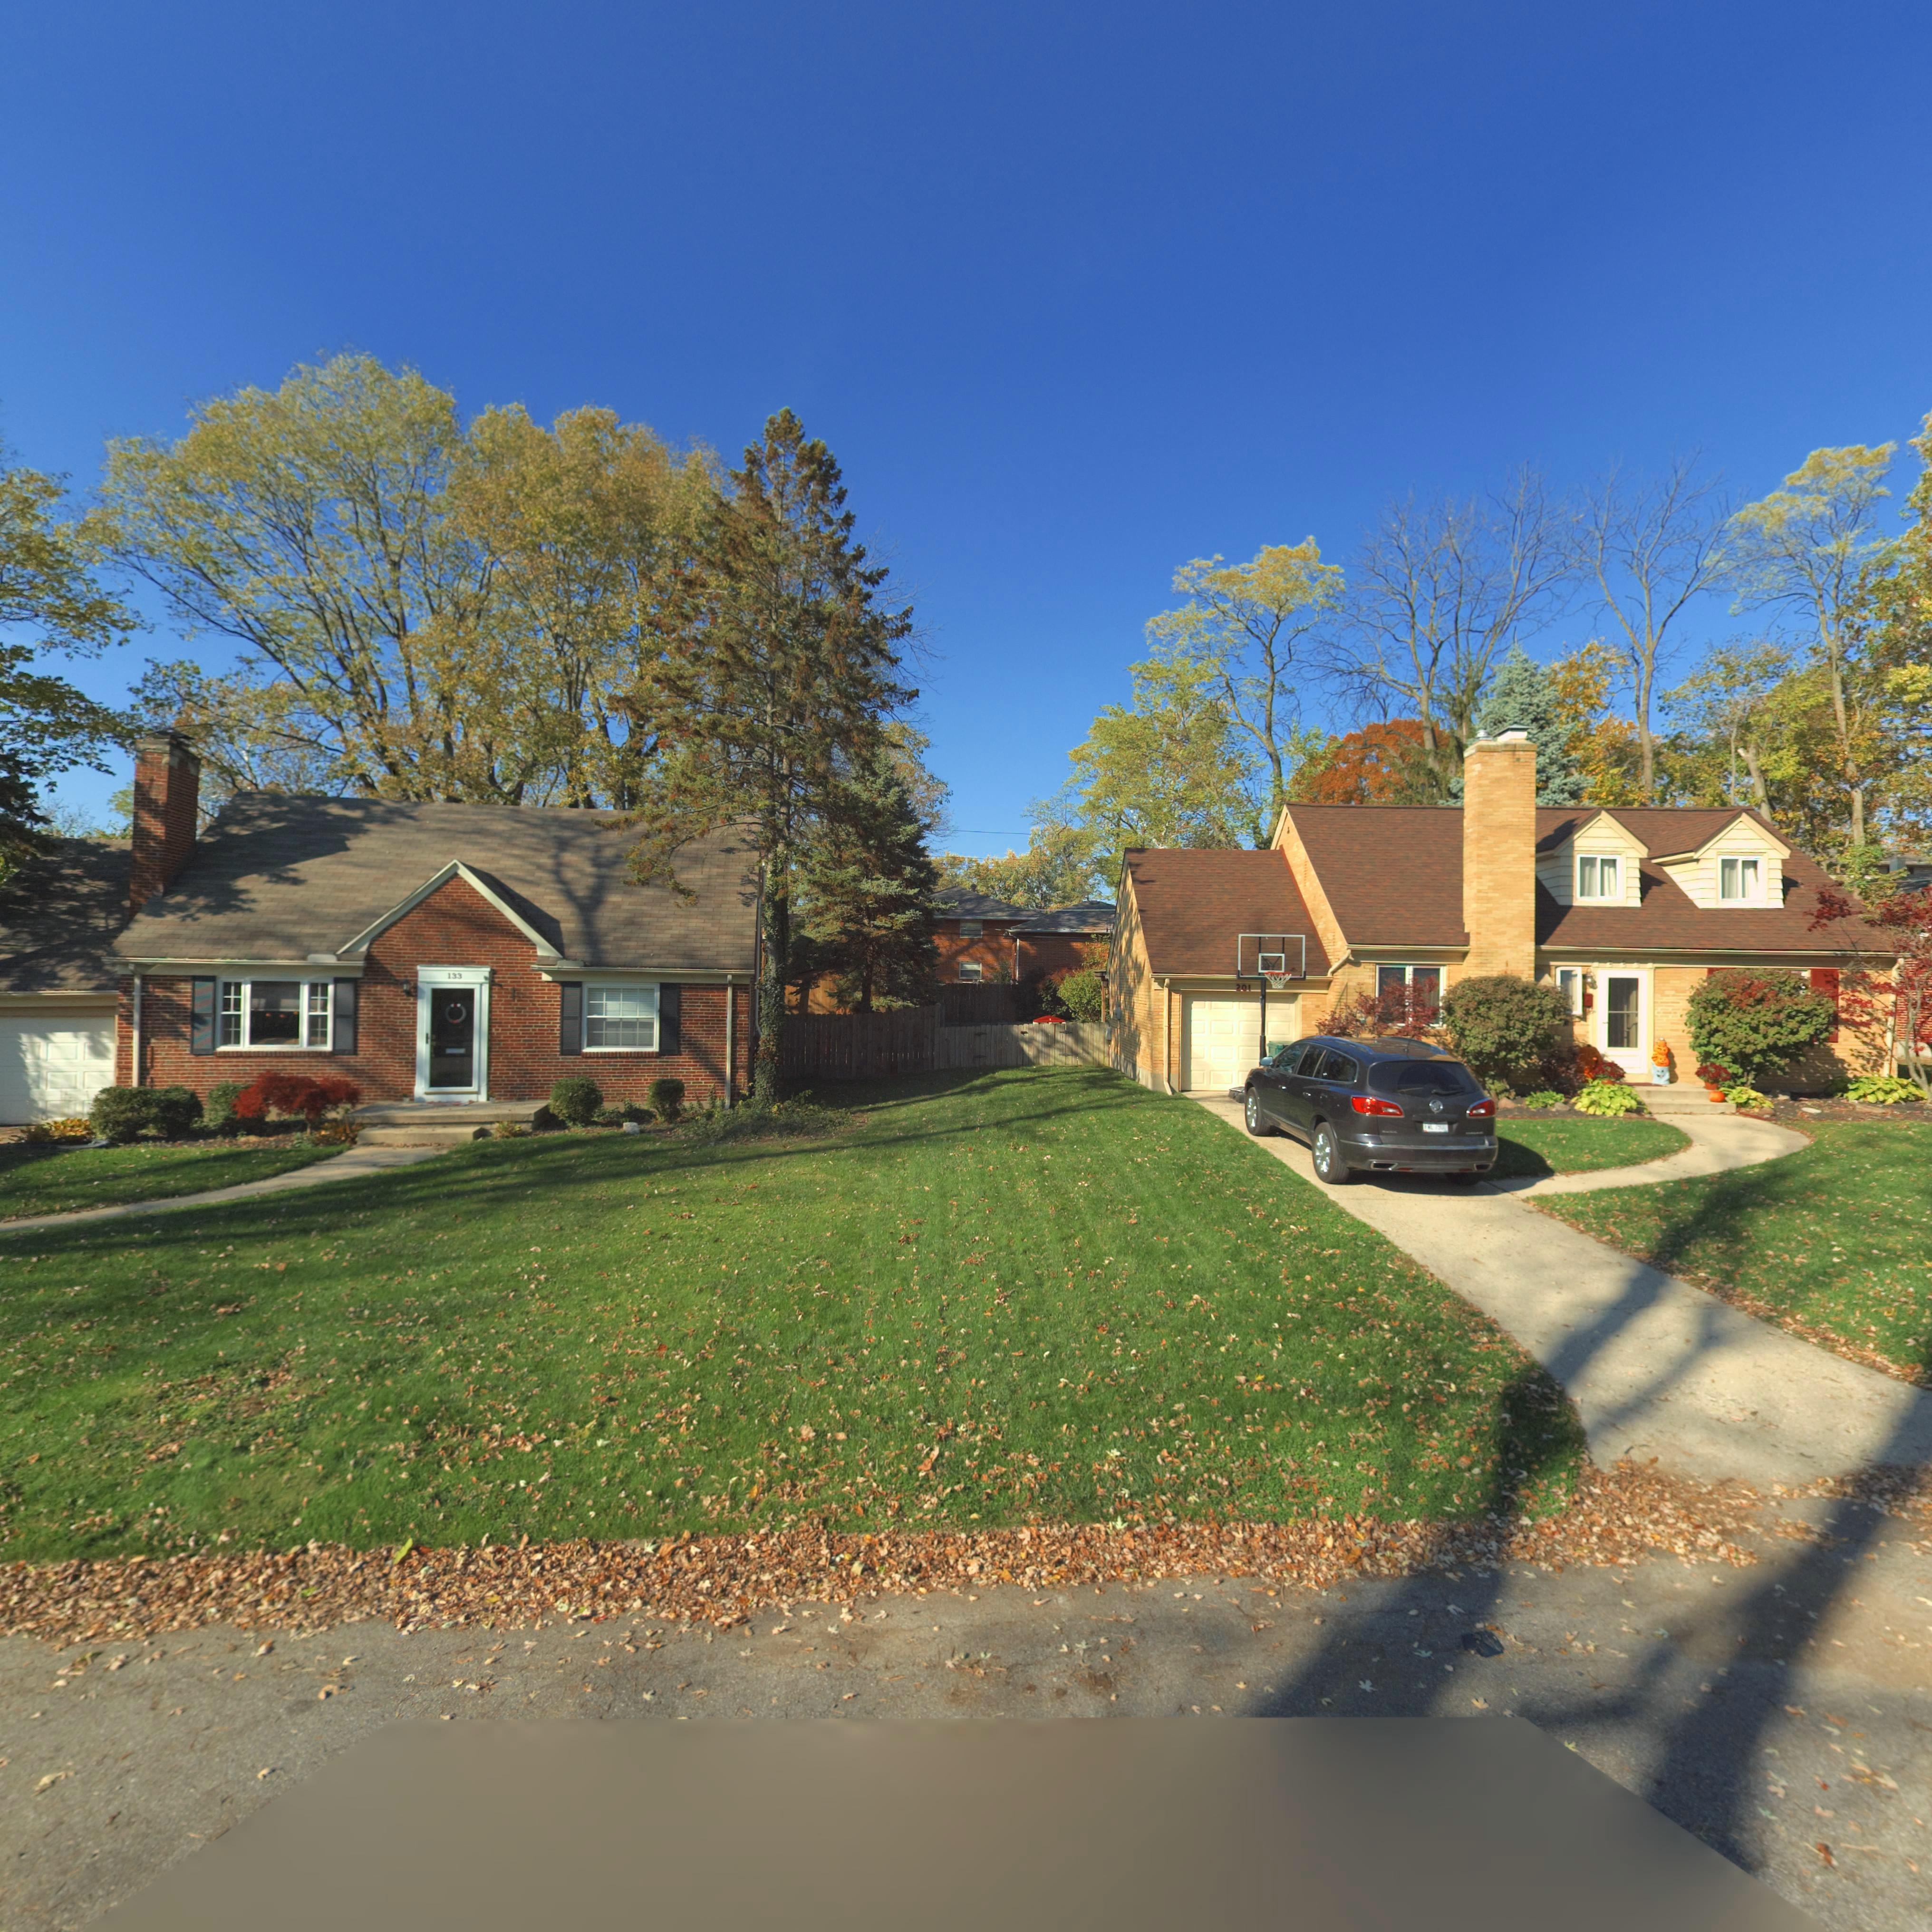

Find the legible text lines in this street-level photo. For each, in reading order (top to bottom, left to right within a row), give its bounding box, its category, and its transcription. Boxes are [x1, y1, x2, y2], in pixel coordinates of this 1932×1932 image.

[447, 972, 463, 980] StreetNumber: 133\
[1235, 983, 1252, 993] StreetNumber: 201